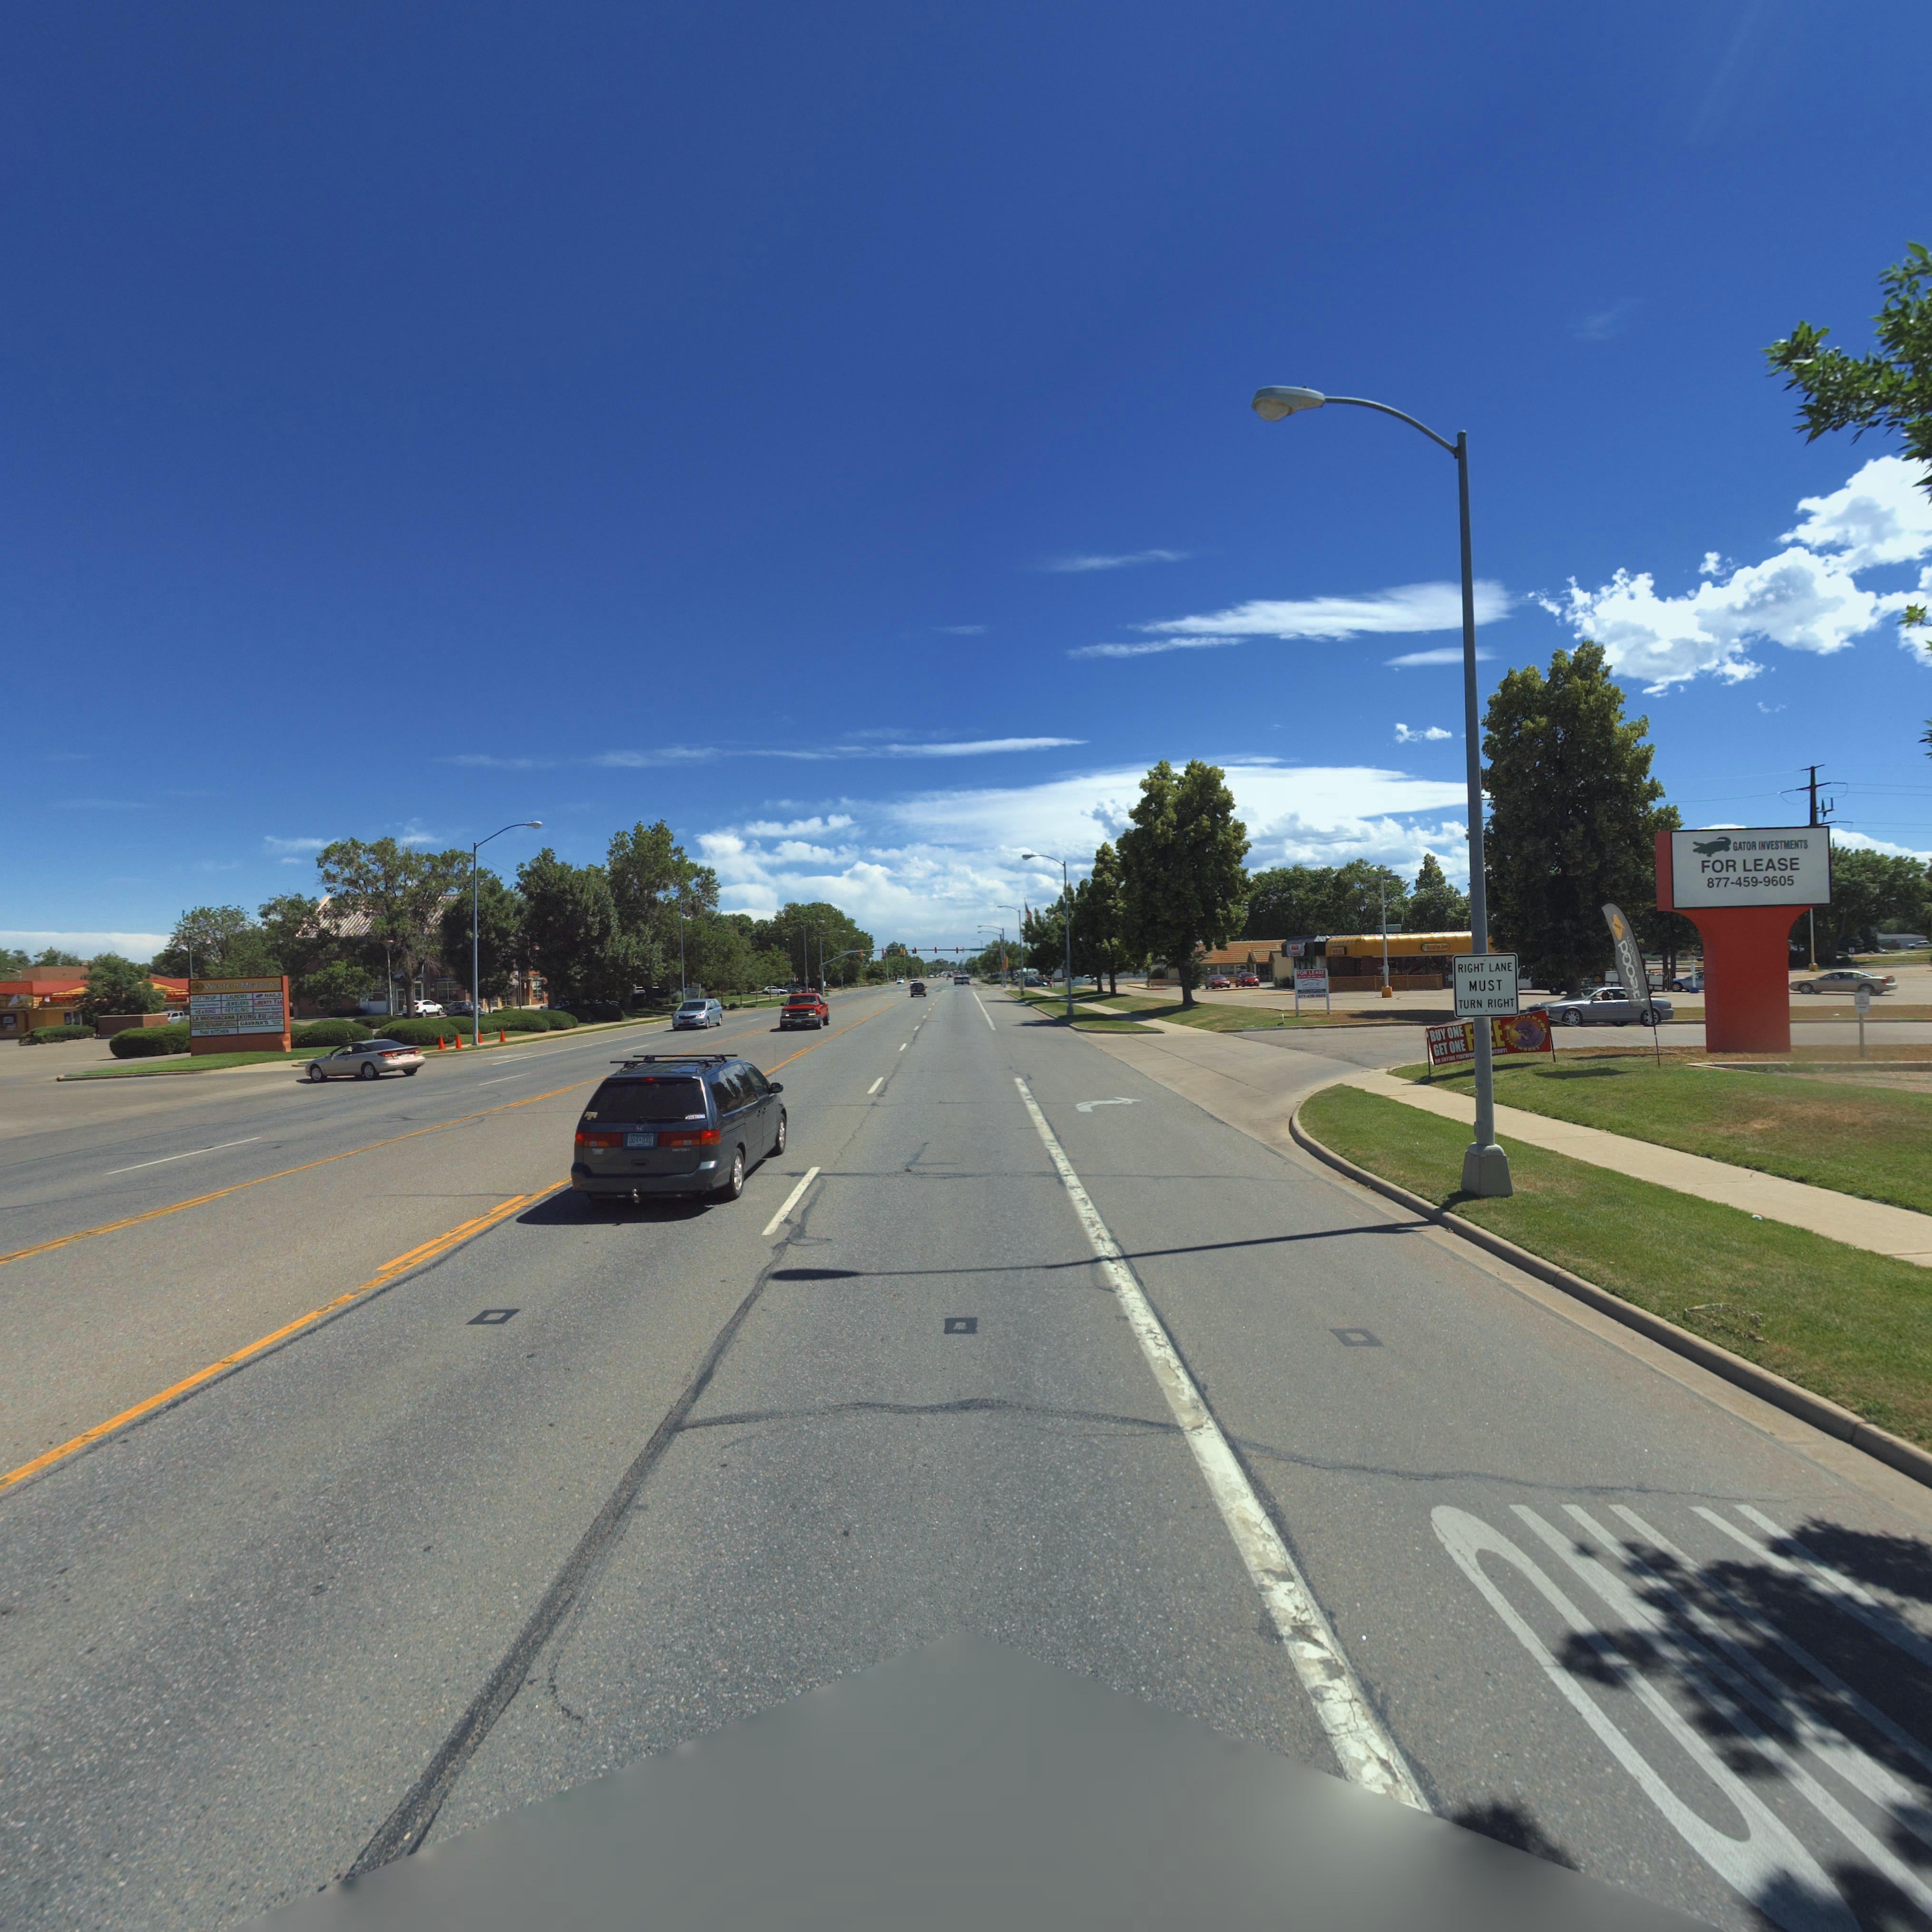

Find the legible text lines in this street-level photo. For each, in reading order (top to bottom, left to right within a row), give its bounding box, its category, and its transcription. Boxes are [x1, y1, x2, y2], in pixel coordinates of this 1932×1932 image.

[1426, 943, 1449, 949] BusinessName: Do**** Jo*'s
[193, 995, 217, 1000] BusinessName: CUTT** UP
[254, 998, 282, 1005] BusinessName: LIBERTY TAX
[191, 1014, 235, 1021] BusinessName: LA ********ANA
[239, 1020, 268, 1025] BusinessName: *AVANA**
[199, 1028, 229, 1034] BusinessName: **** ***CHEN